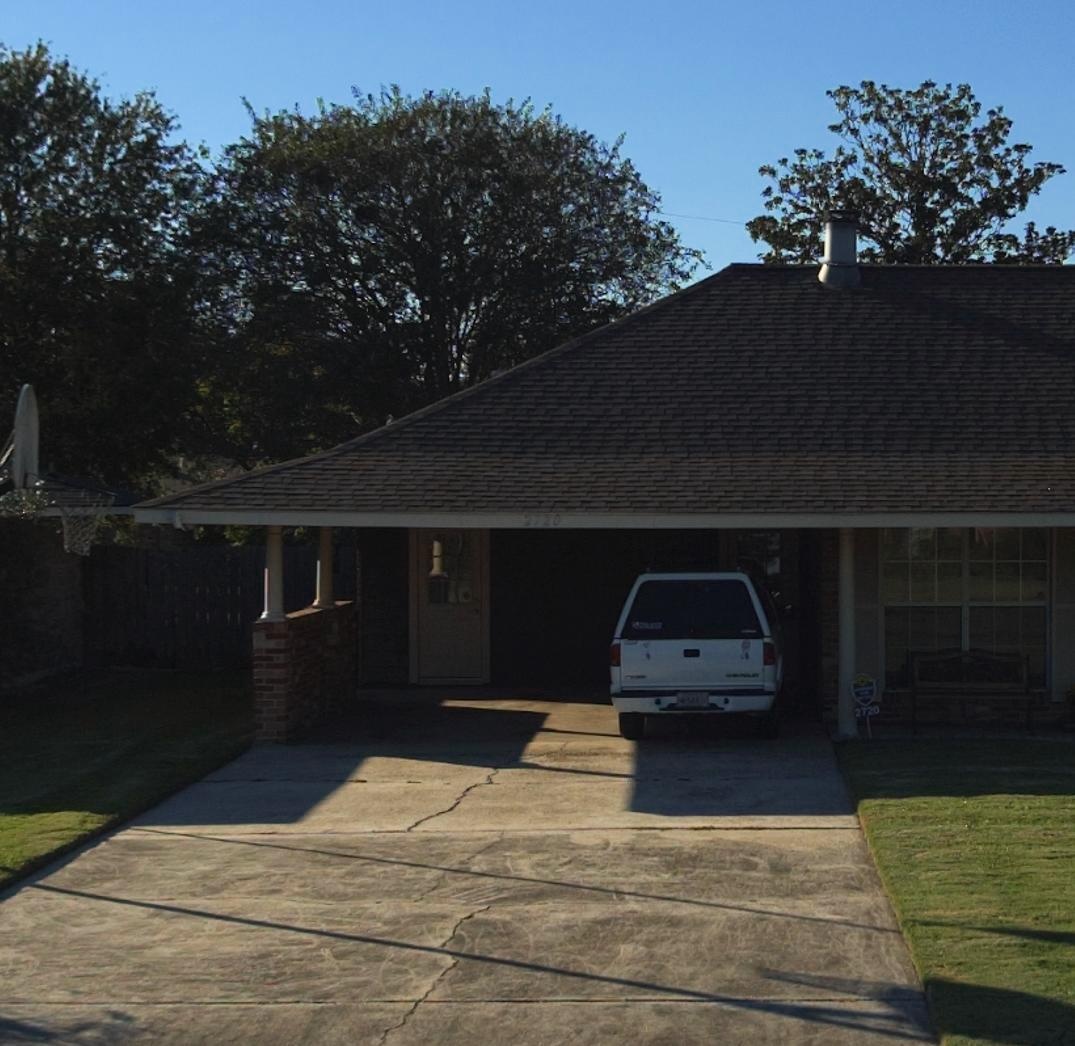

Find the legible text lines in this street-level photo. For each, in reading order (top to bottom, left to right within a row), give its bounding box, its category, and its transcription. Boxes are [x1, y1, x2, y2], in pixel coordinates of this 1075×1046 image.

[522, 513, 562, 528] StreetNumber: 2720
[853, 705, 882, 720] StreetNumber: 2720